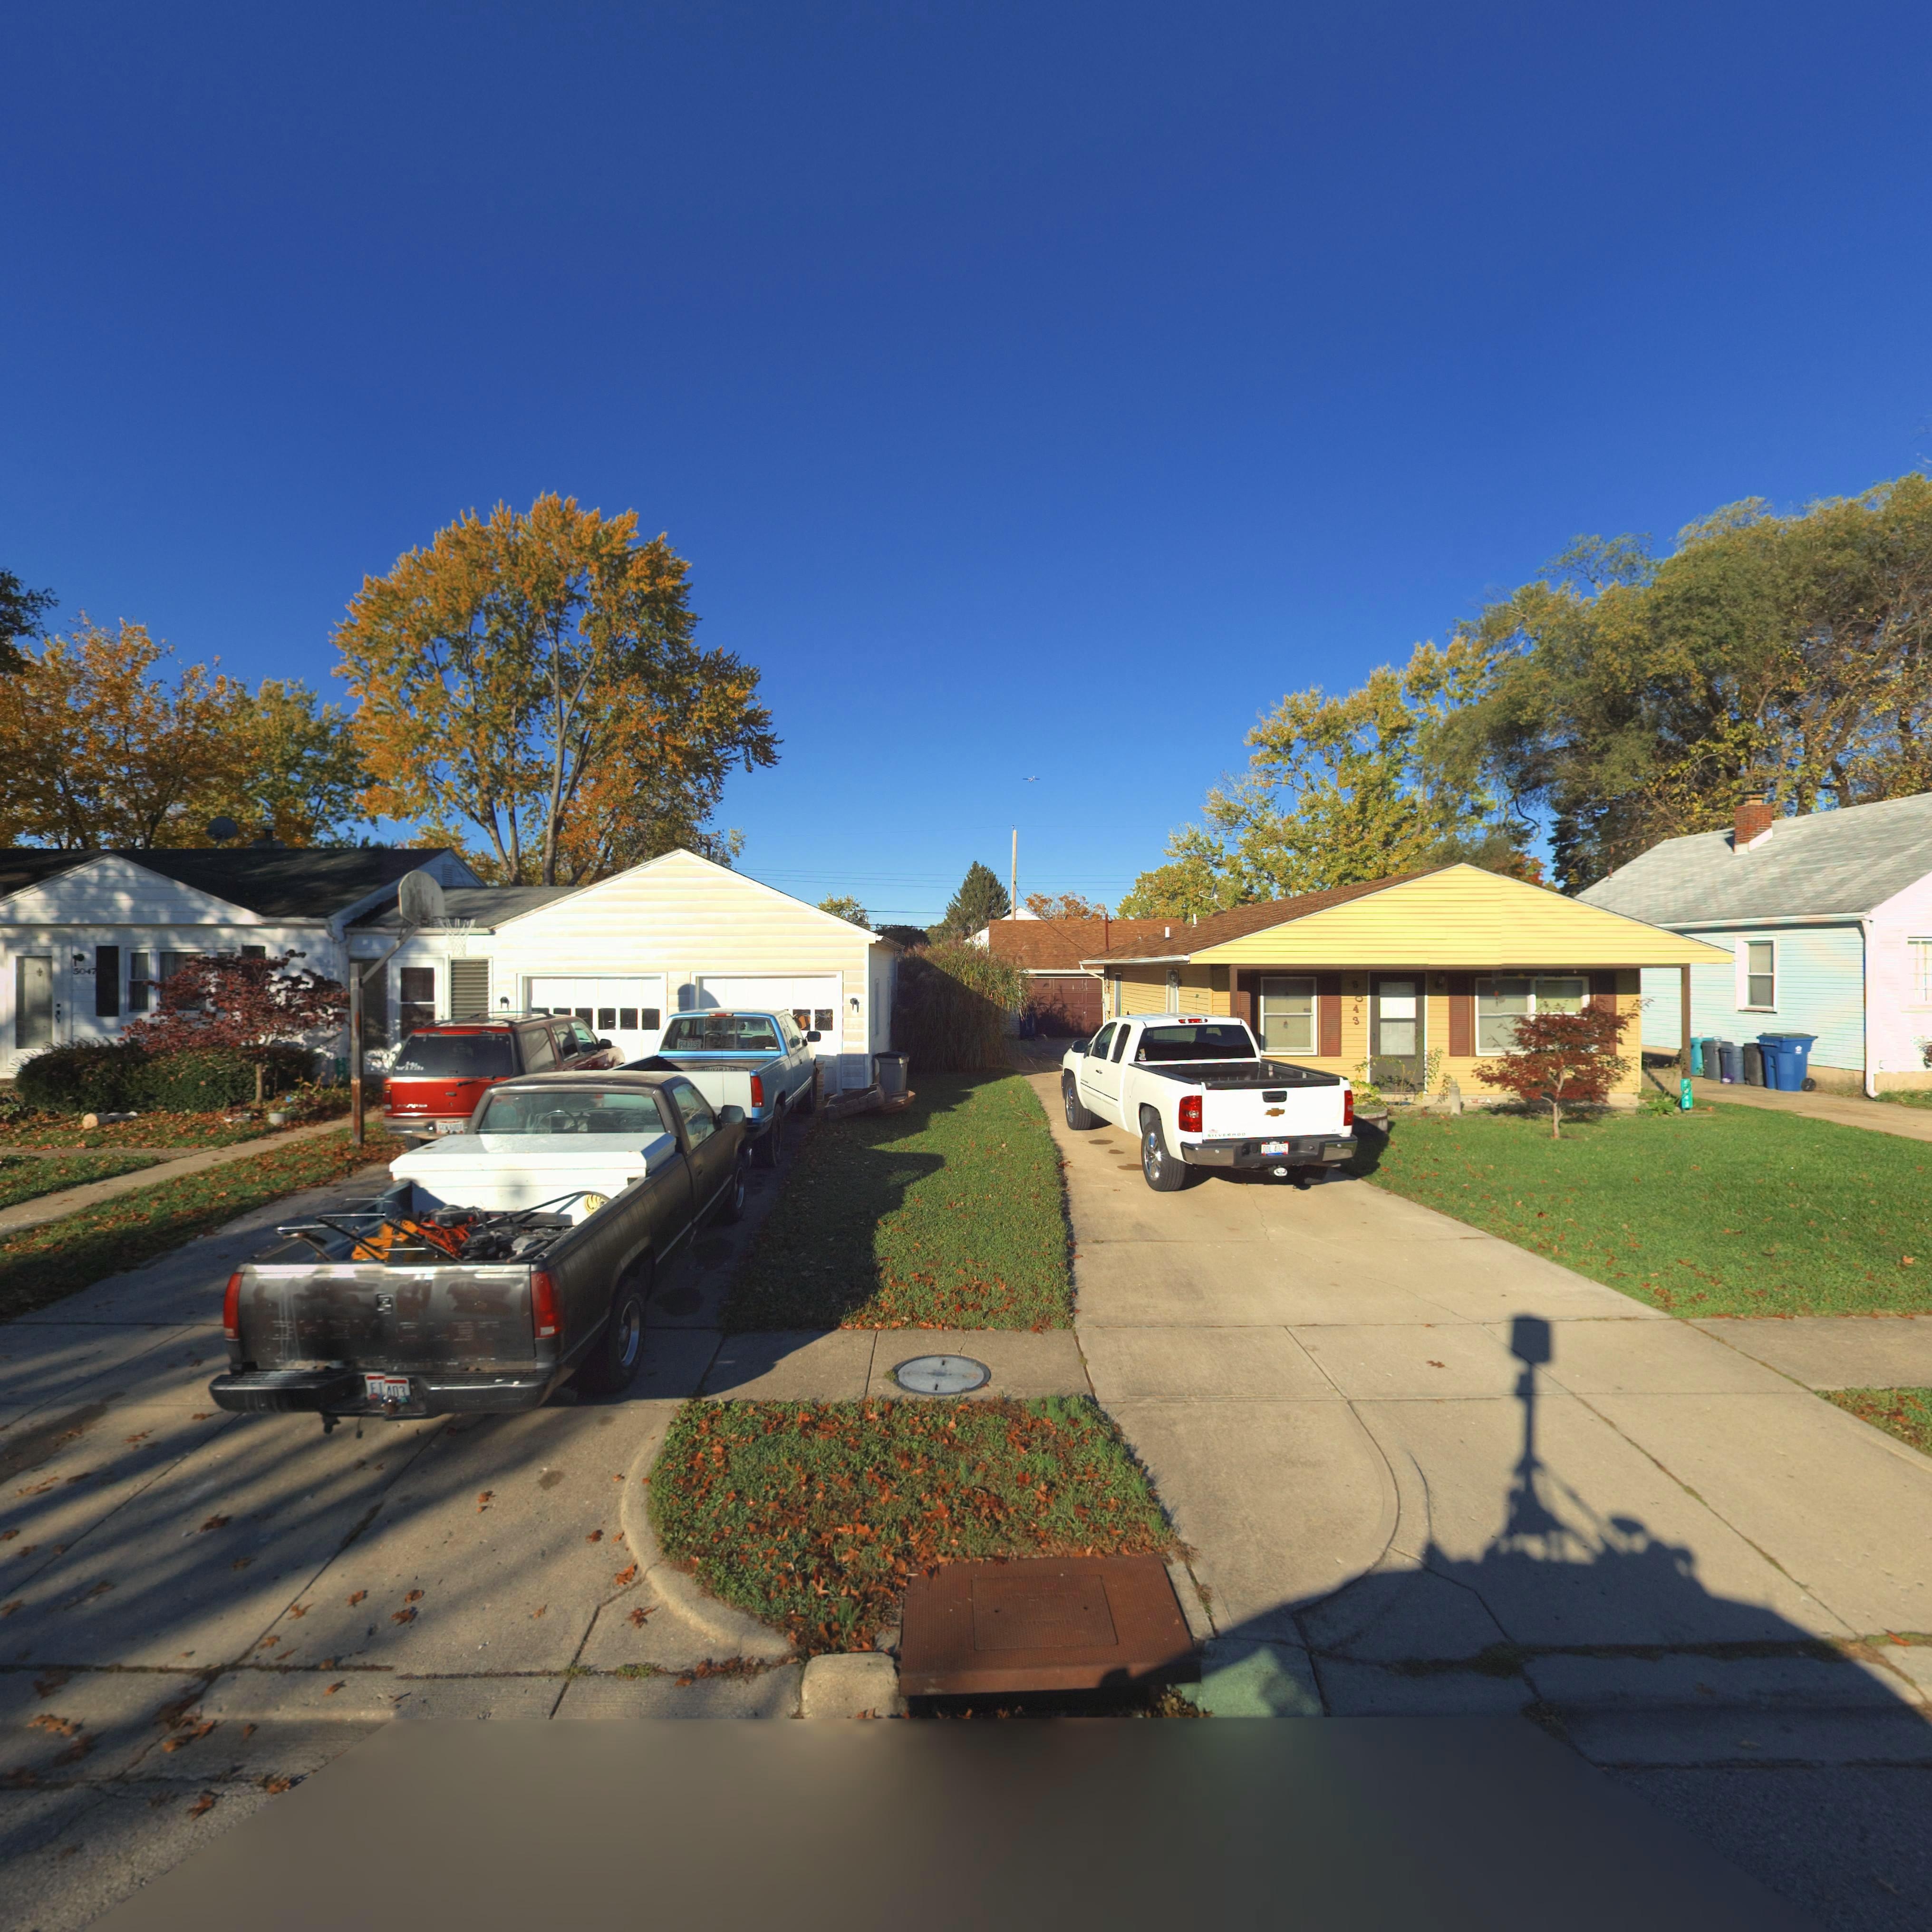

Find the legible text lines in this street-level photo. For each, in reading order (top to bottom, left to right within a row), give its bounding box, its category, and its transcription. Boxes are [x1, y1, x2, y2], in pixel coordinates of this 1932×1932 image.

[73, 967, 97, 975] StreetNumber: 5047
[1351, 979, 1364, 1026] StreetNumber: 5043
[1683, 1080, 1690, 1107] StreetNumber: 5*43